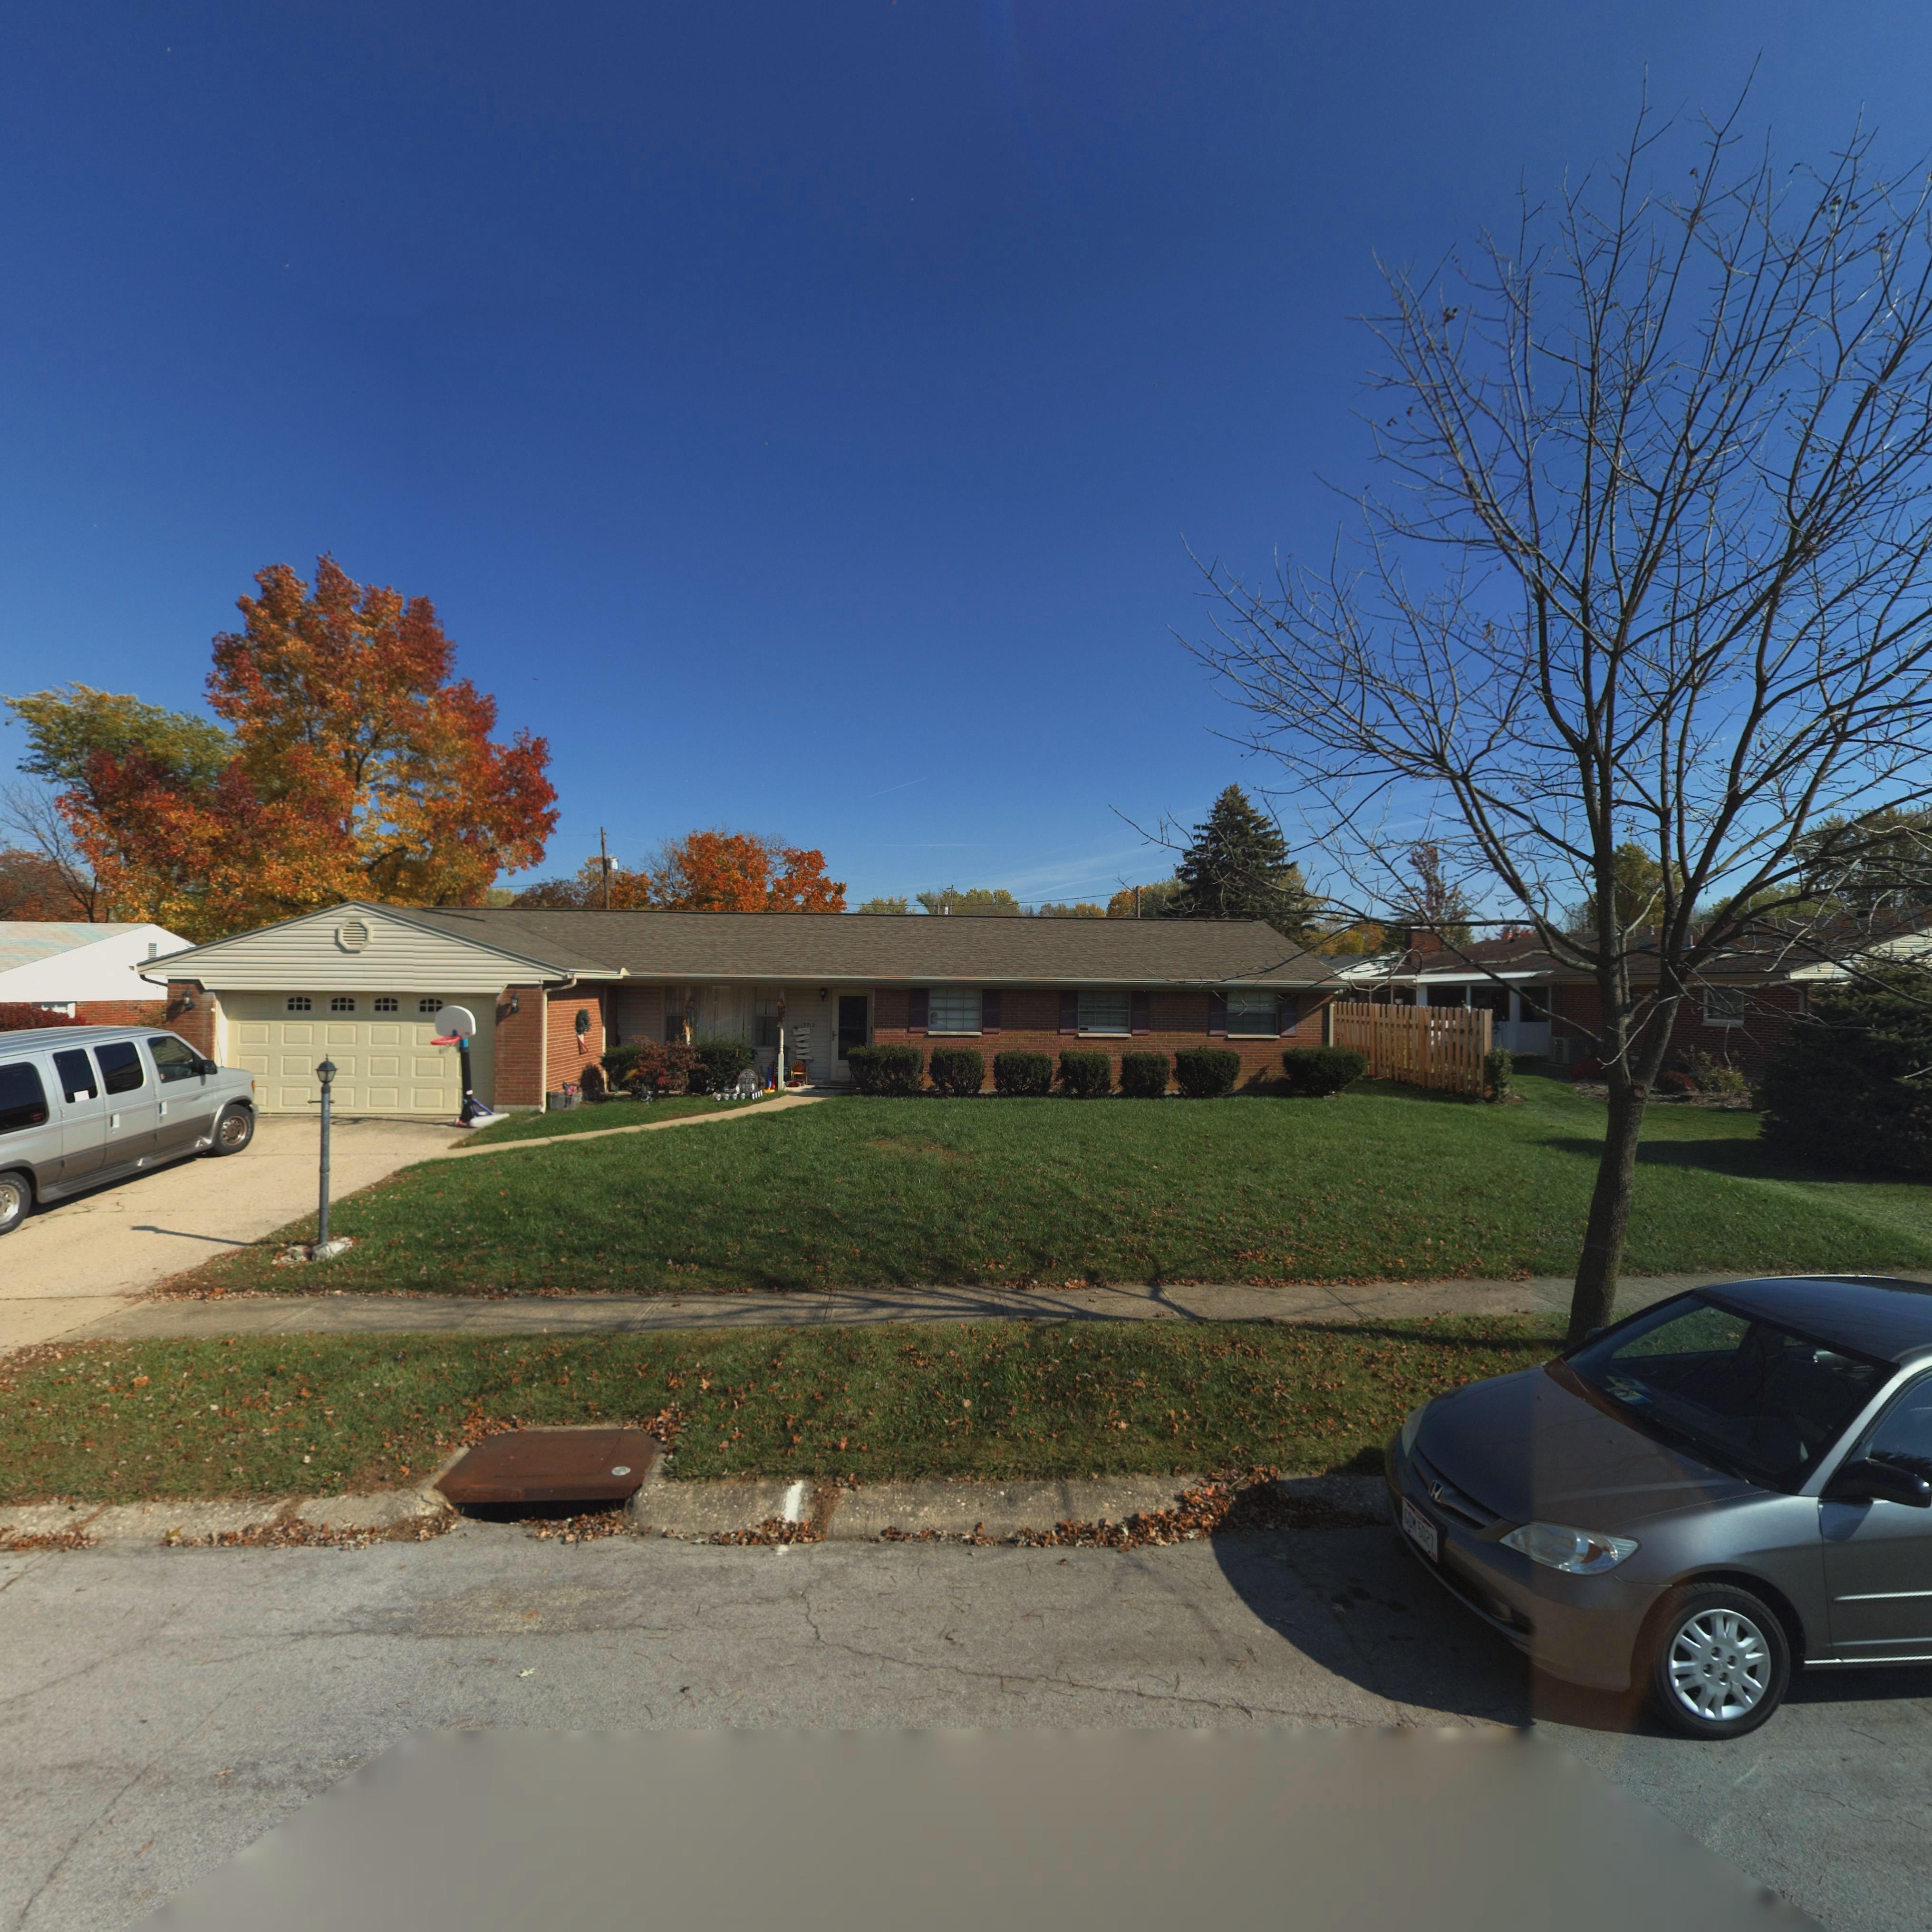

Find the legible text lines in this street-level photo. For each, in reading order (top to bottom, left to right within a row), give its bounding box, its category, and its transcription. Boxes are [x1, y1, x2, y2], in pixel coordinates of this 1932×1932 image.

[802, 1021, 816, 1028] StreetNumber: 3712
[1429, 1480, 1444, 1501] None: H
[1403, 1507, 1436, 1551] None: GD* 5027